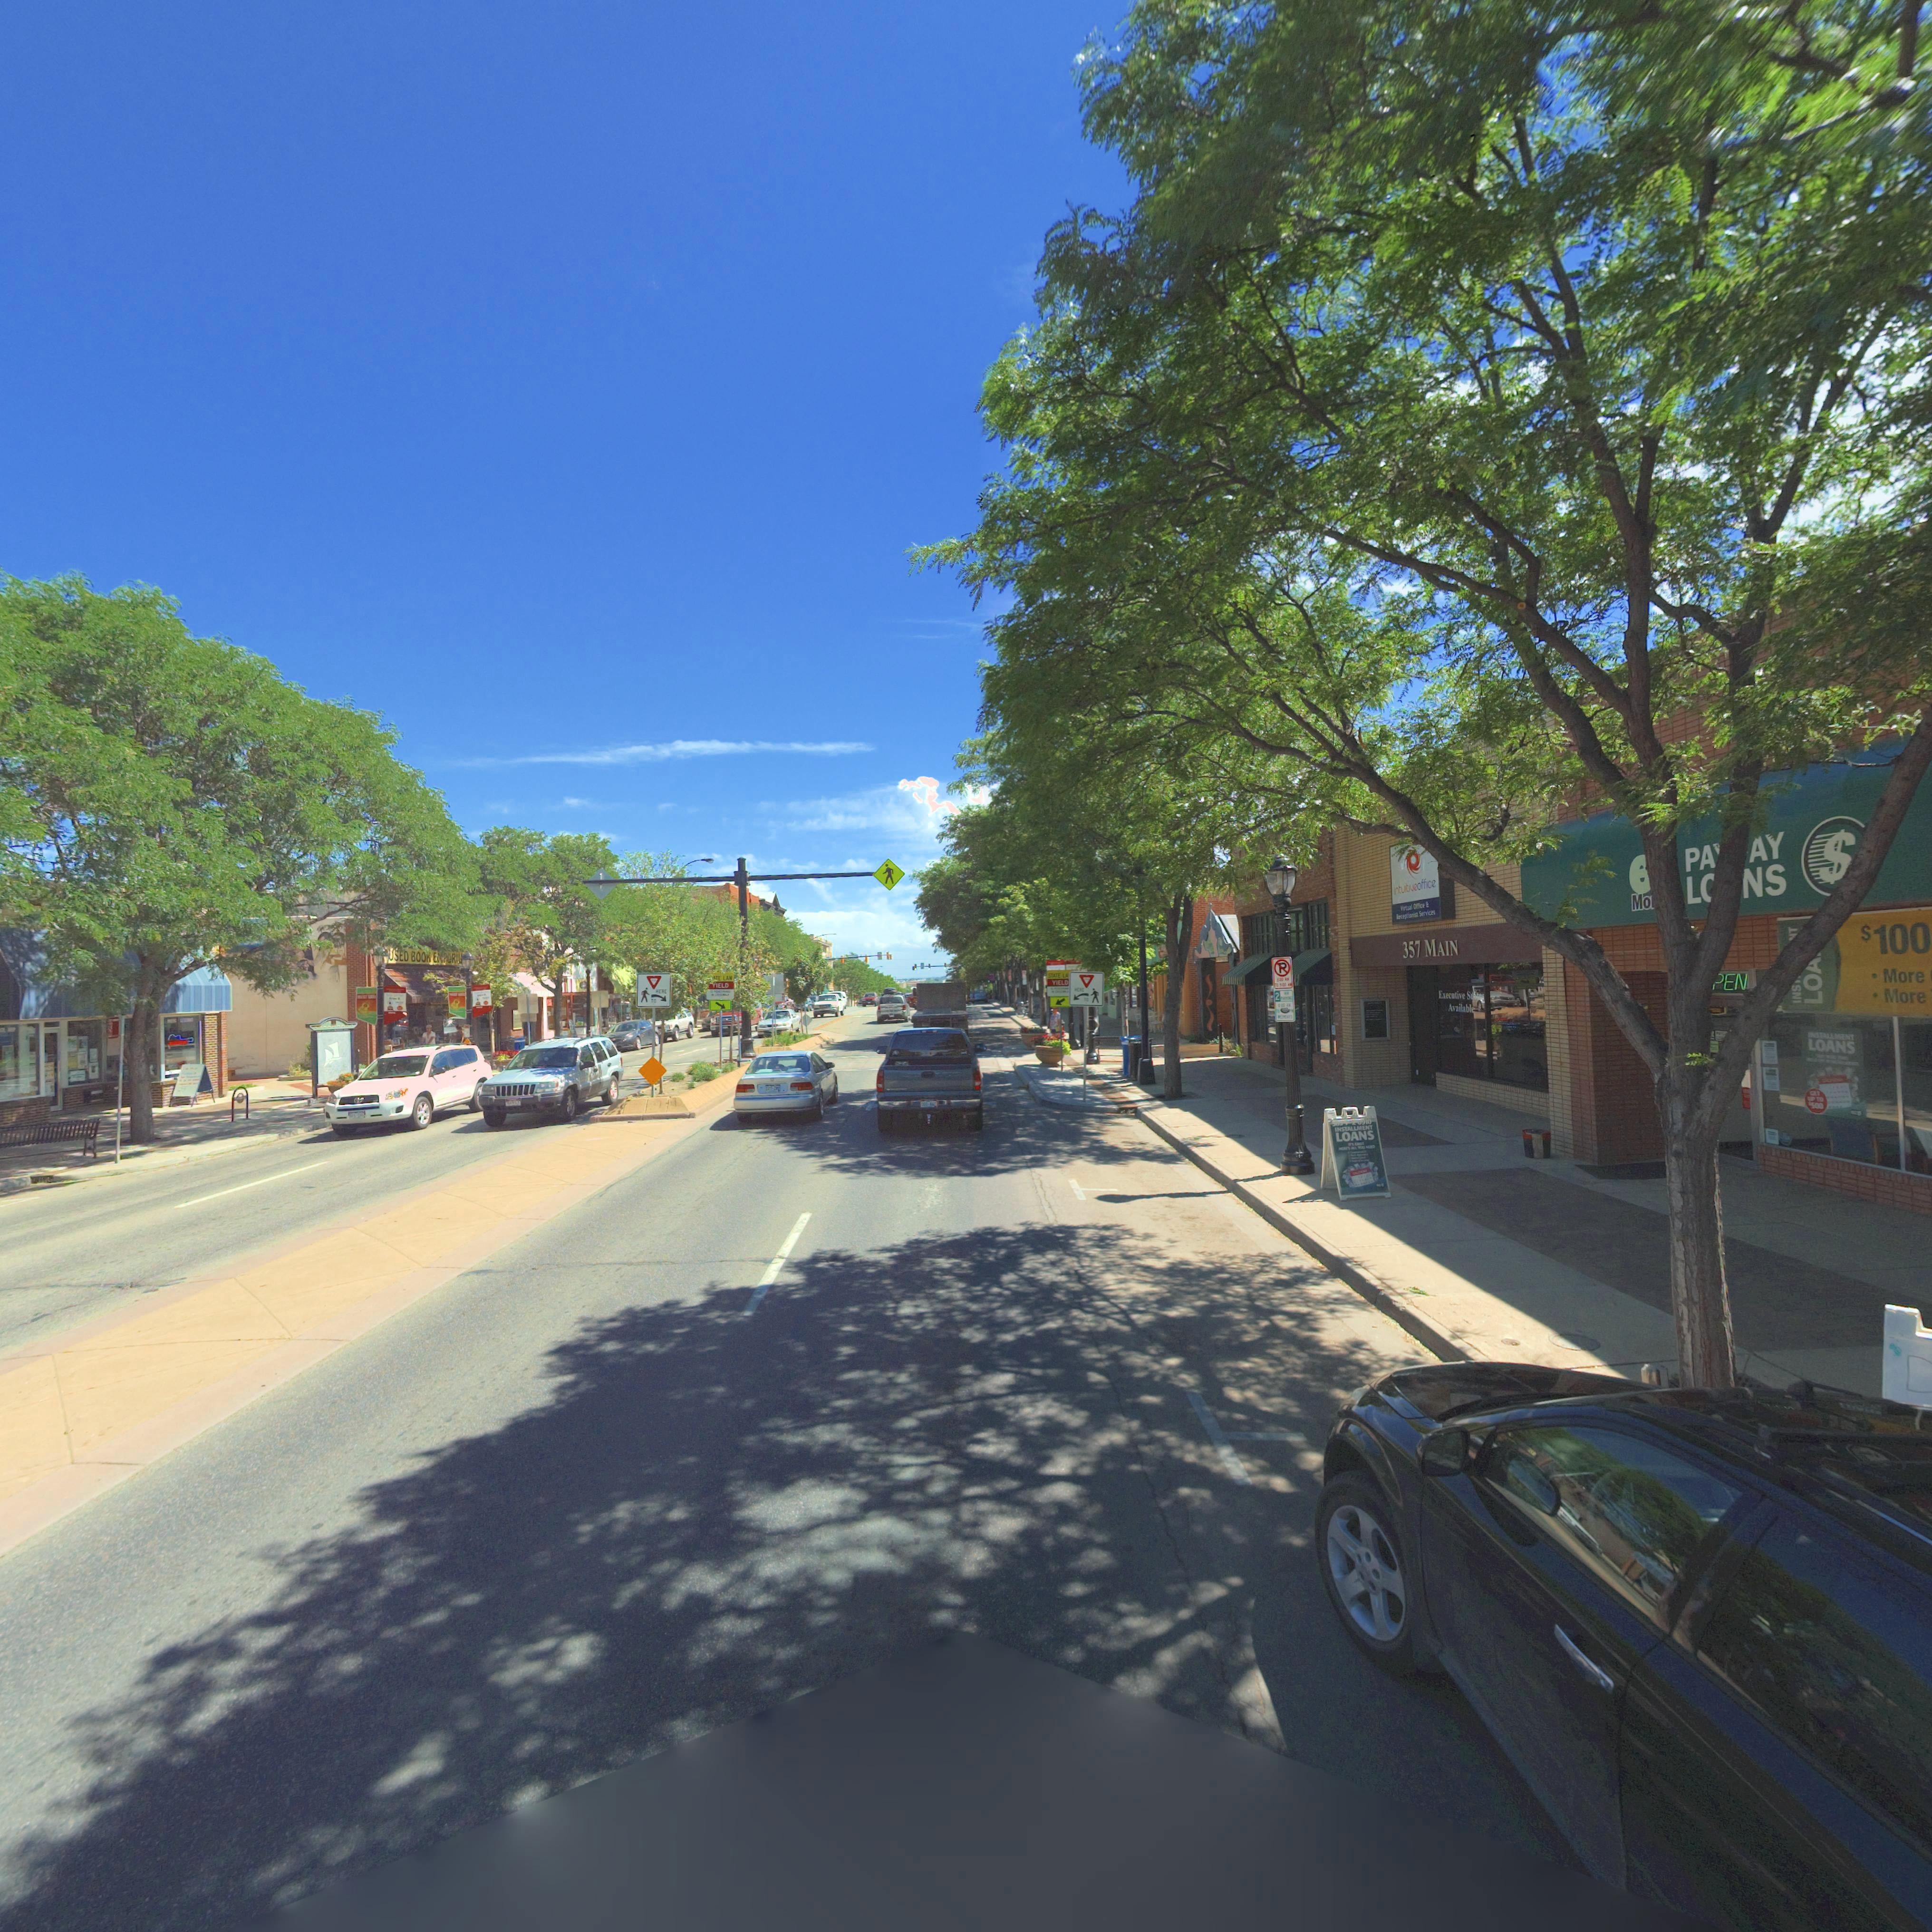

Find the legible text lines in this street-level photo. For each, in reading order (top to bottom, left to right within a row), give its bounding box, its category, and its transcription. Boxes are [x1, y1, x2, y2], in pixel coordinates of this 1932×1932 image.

[1627, 852, 1652, 895] BusinessName: e
[1393, 878, 1436, 895] BusinessName: ntu*t*eoffice
[1632, 893, 1654, 910] BusinessName: Mo*
[387, 948, 463, 964] BusinessName: USED BOOK EMPORI*
[1401, 939, 1421, 958] StreetNumber: 357
[1423, 938, 1458, 957] StreetName: MAIN